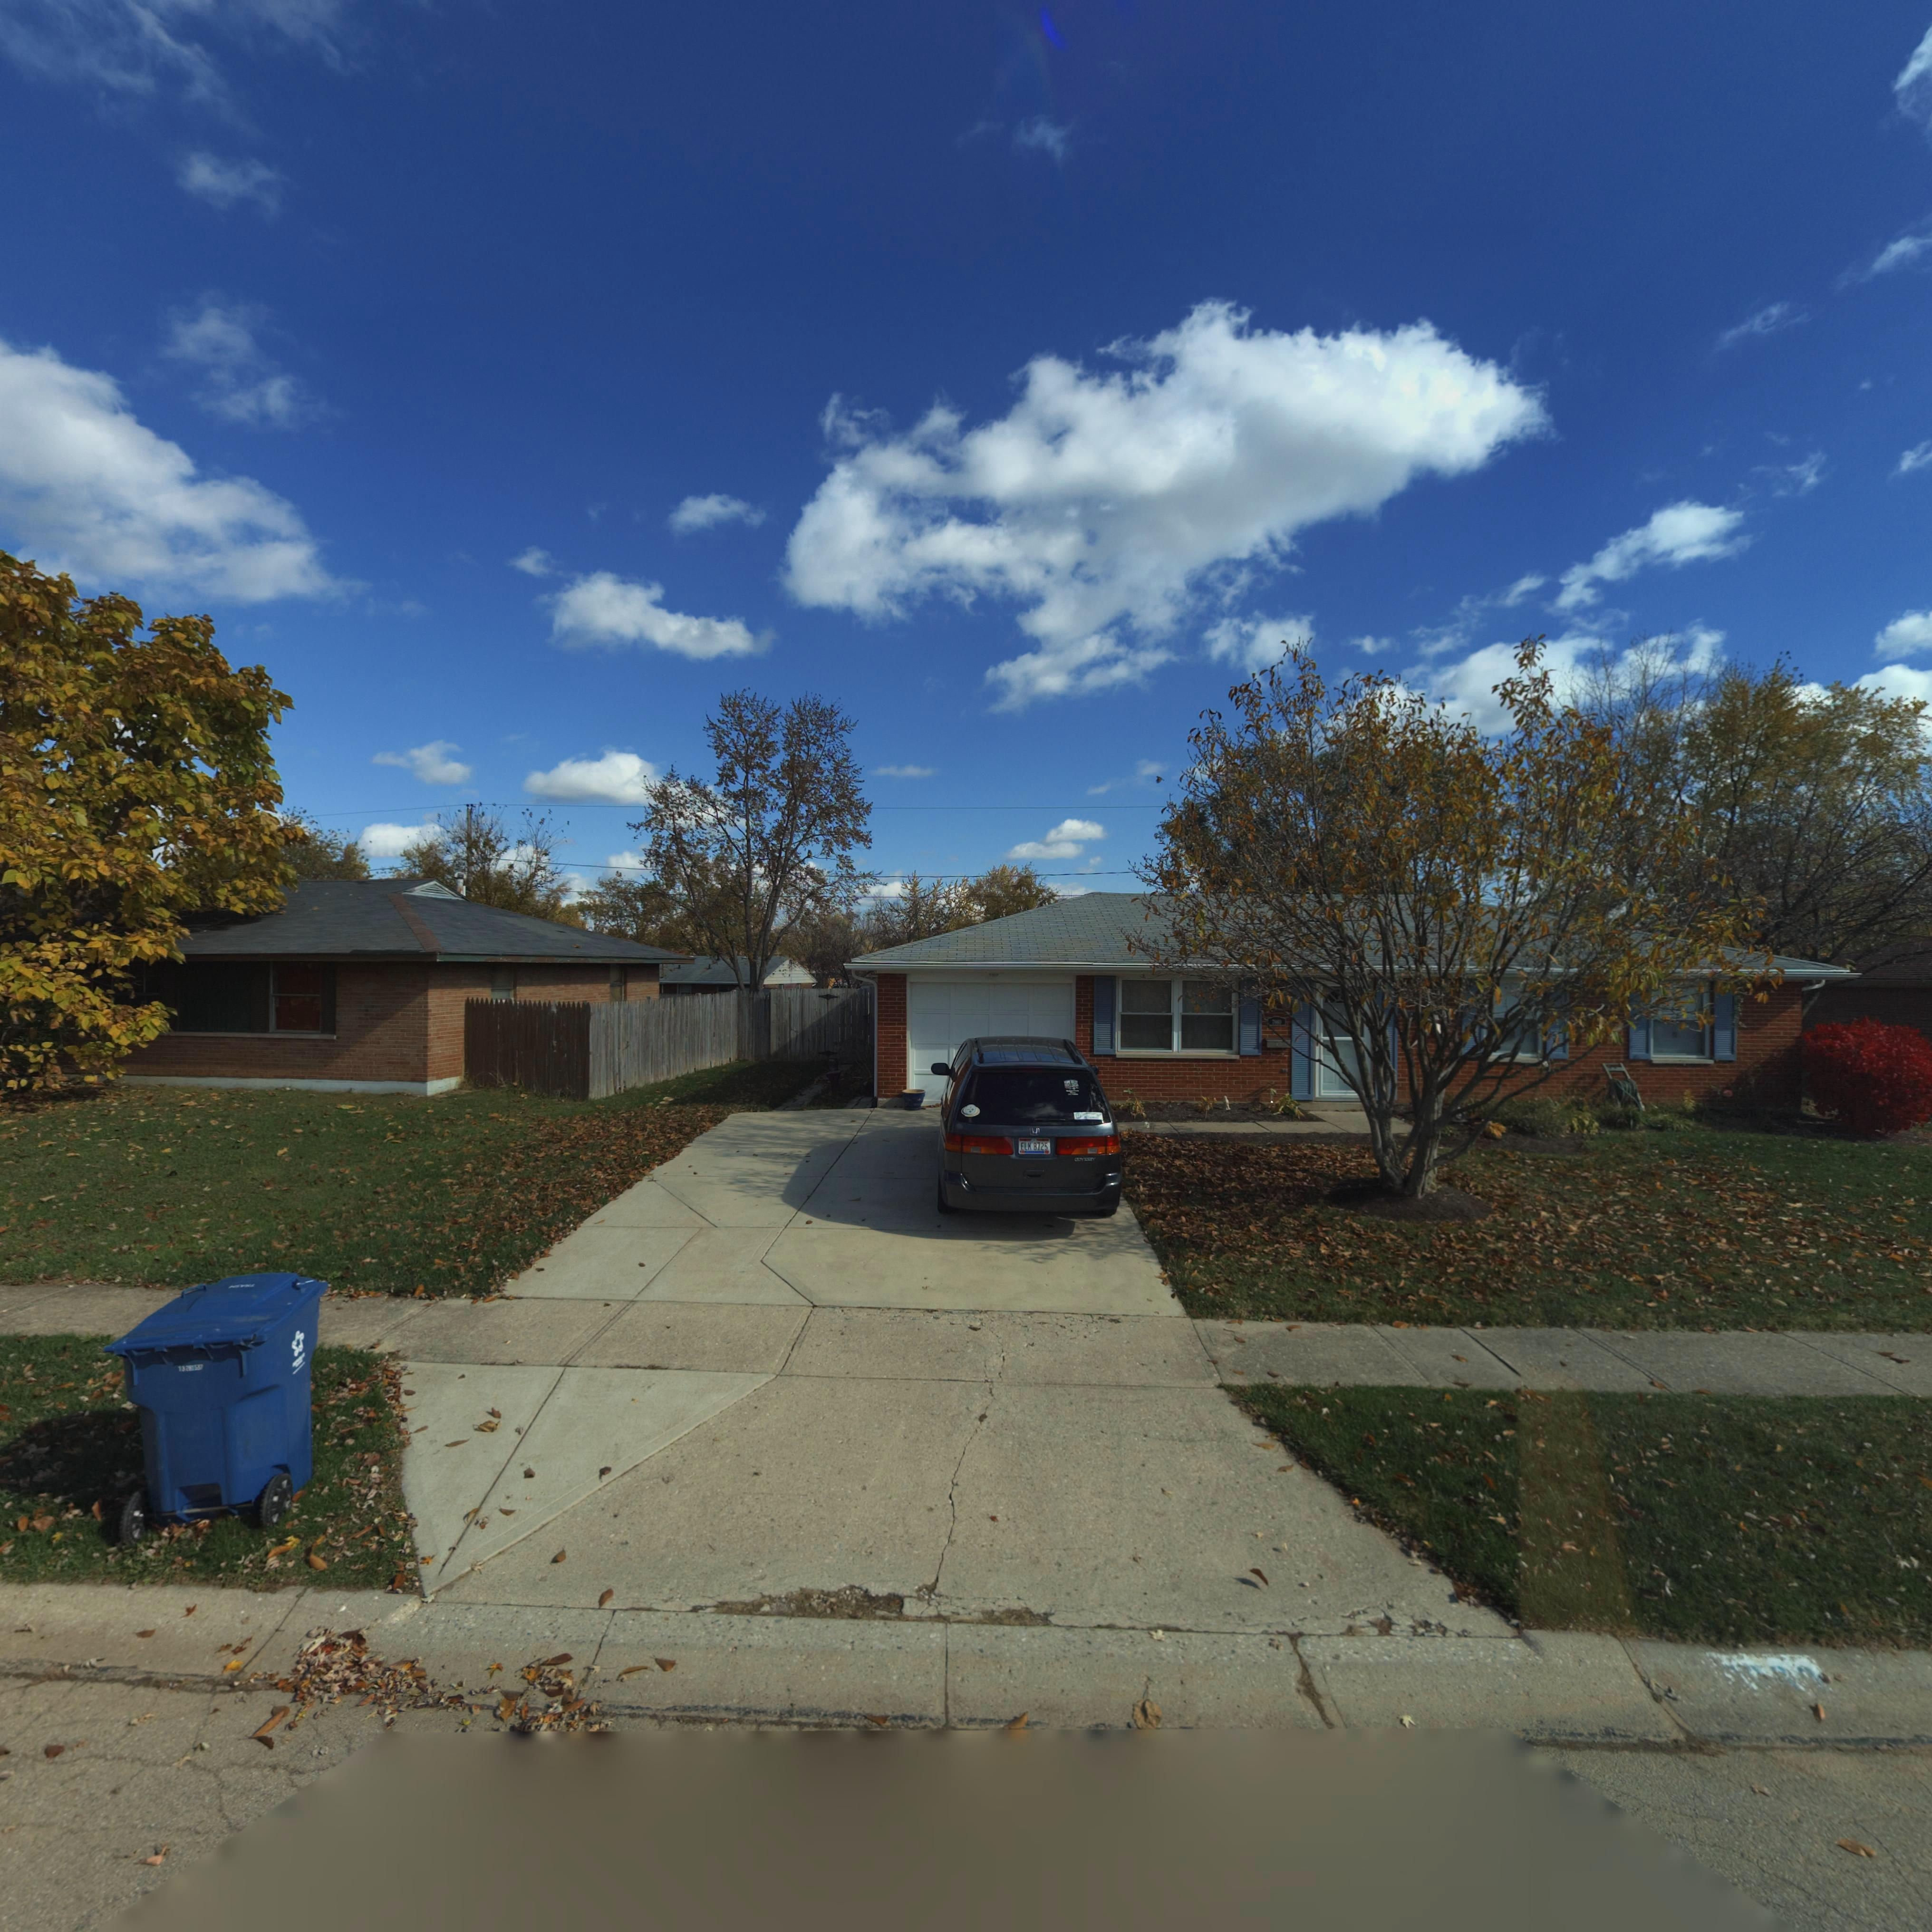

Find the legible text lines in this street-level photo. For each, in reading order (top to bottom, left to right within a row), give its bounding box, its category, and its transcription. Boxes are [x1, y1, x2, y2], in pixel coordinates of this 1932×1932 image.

[1271, 1019, 1282, 1025] StreetNumber: 7660